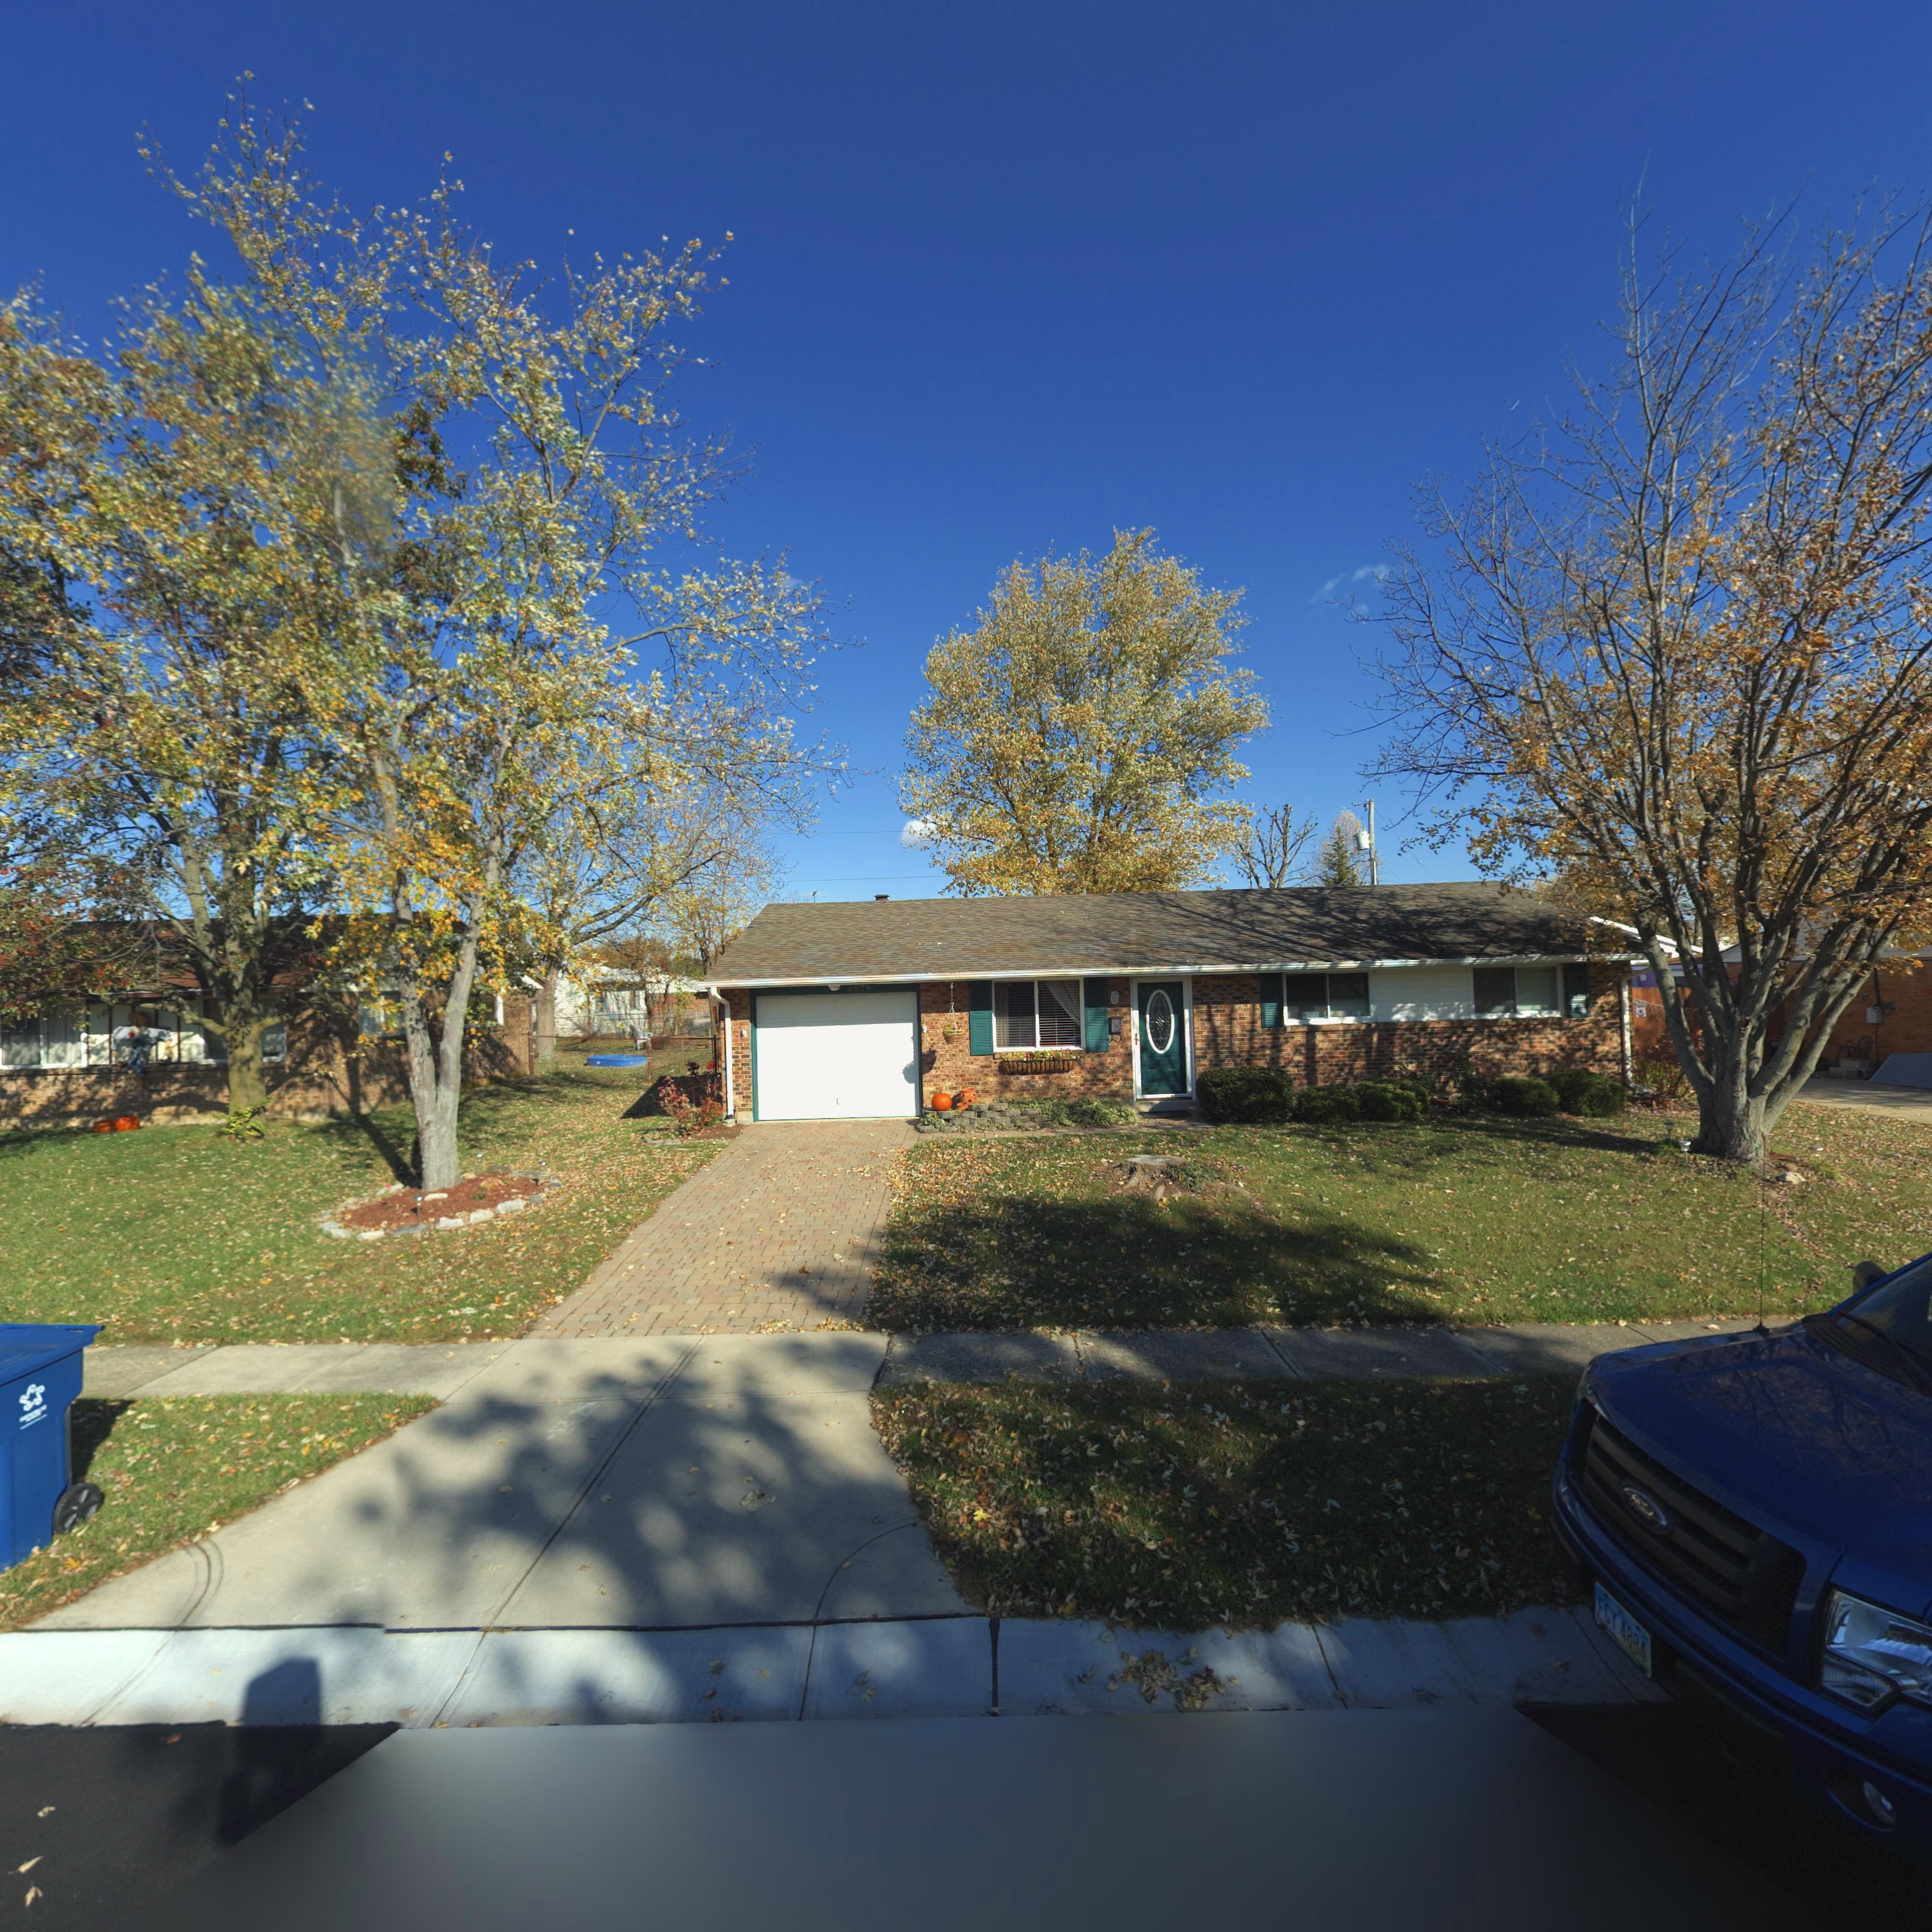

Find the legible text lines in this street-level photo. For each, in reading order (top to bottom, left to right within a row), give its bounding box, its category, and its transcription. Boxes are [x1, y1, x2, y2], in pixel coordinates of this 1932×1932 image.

[848, 984, 871, 993] StreetNumber: 6979